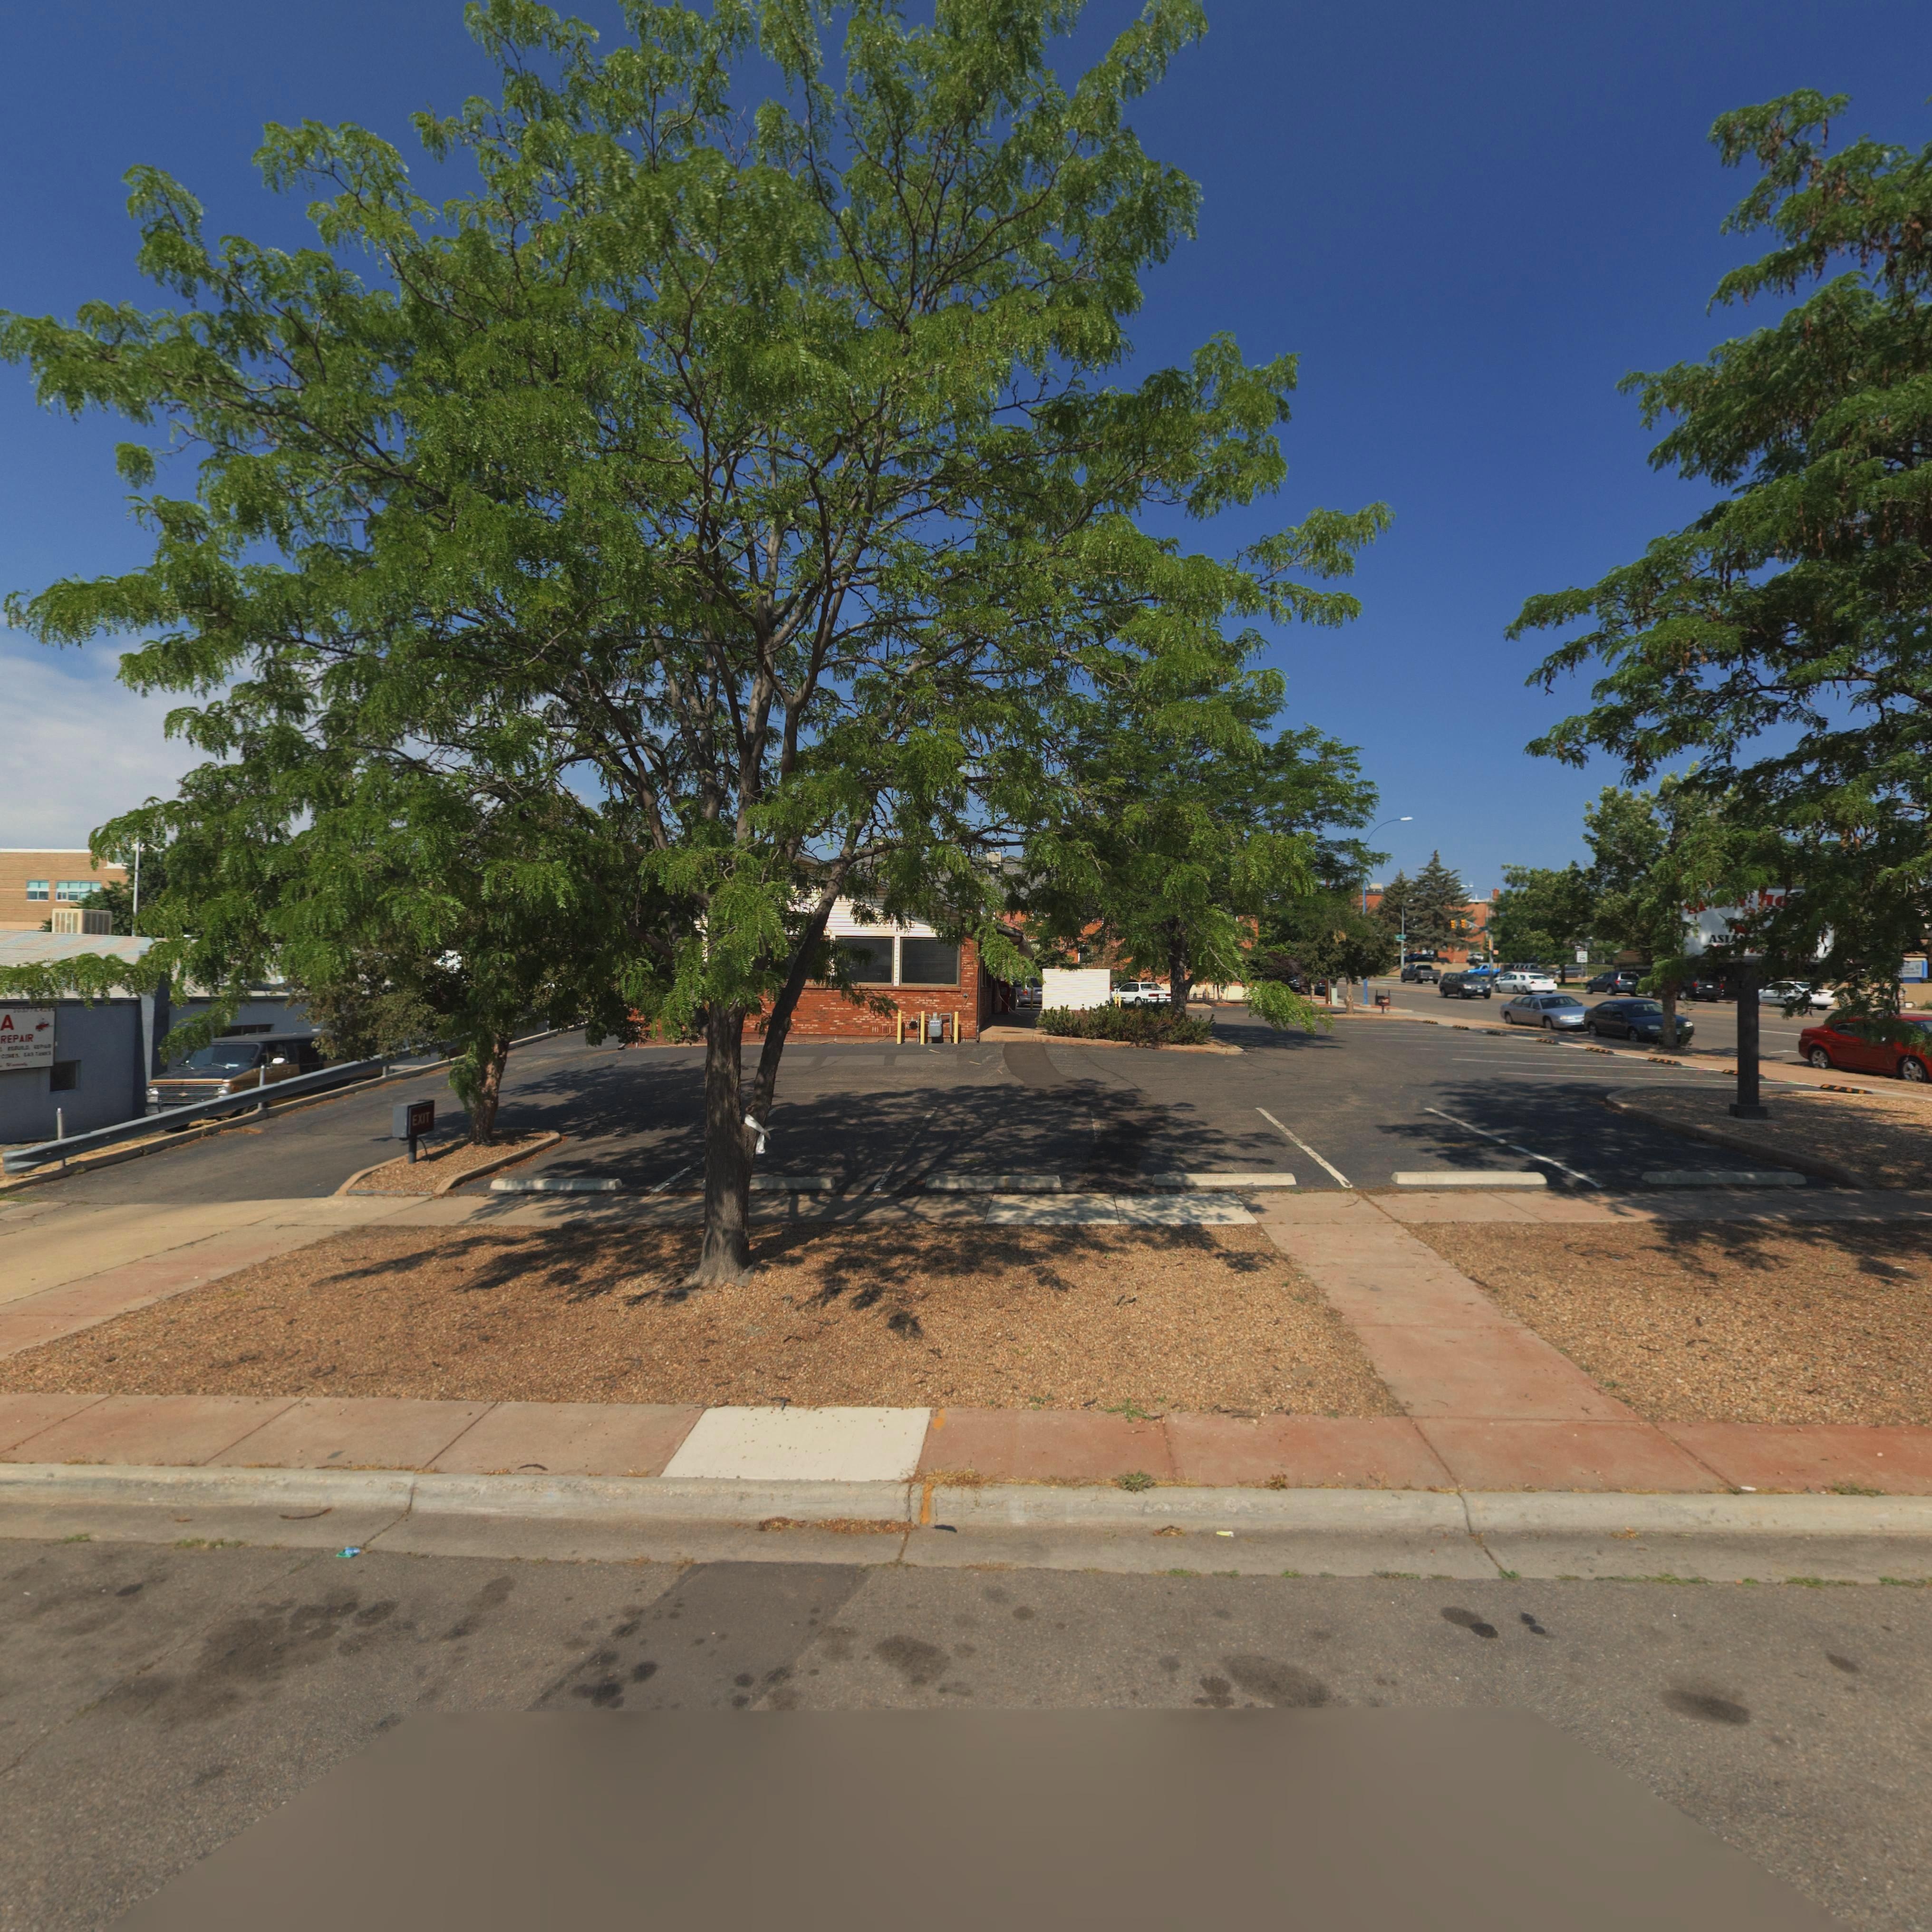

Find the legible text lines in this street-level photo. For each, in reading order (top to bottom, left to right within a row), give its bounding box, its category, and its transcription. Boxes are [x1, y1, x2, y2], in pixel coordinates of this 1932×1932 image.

[1684, 891, 1789, 916] BusinessName: ***** H*
[1708, 934, 1748, 944] BusinessName: ASIA*
[0, 1014, 14, 1031] BusinessName: A
[0, 1033, 34, 1044] BusinessName: REPAIR